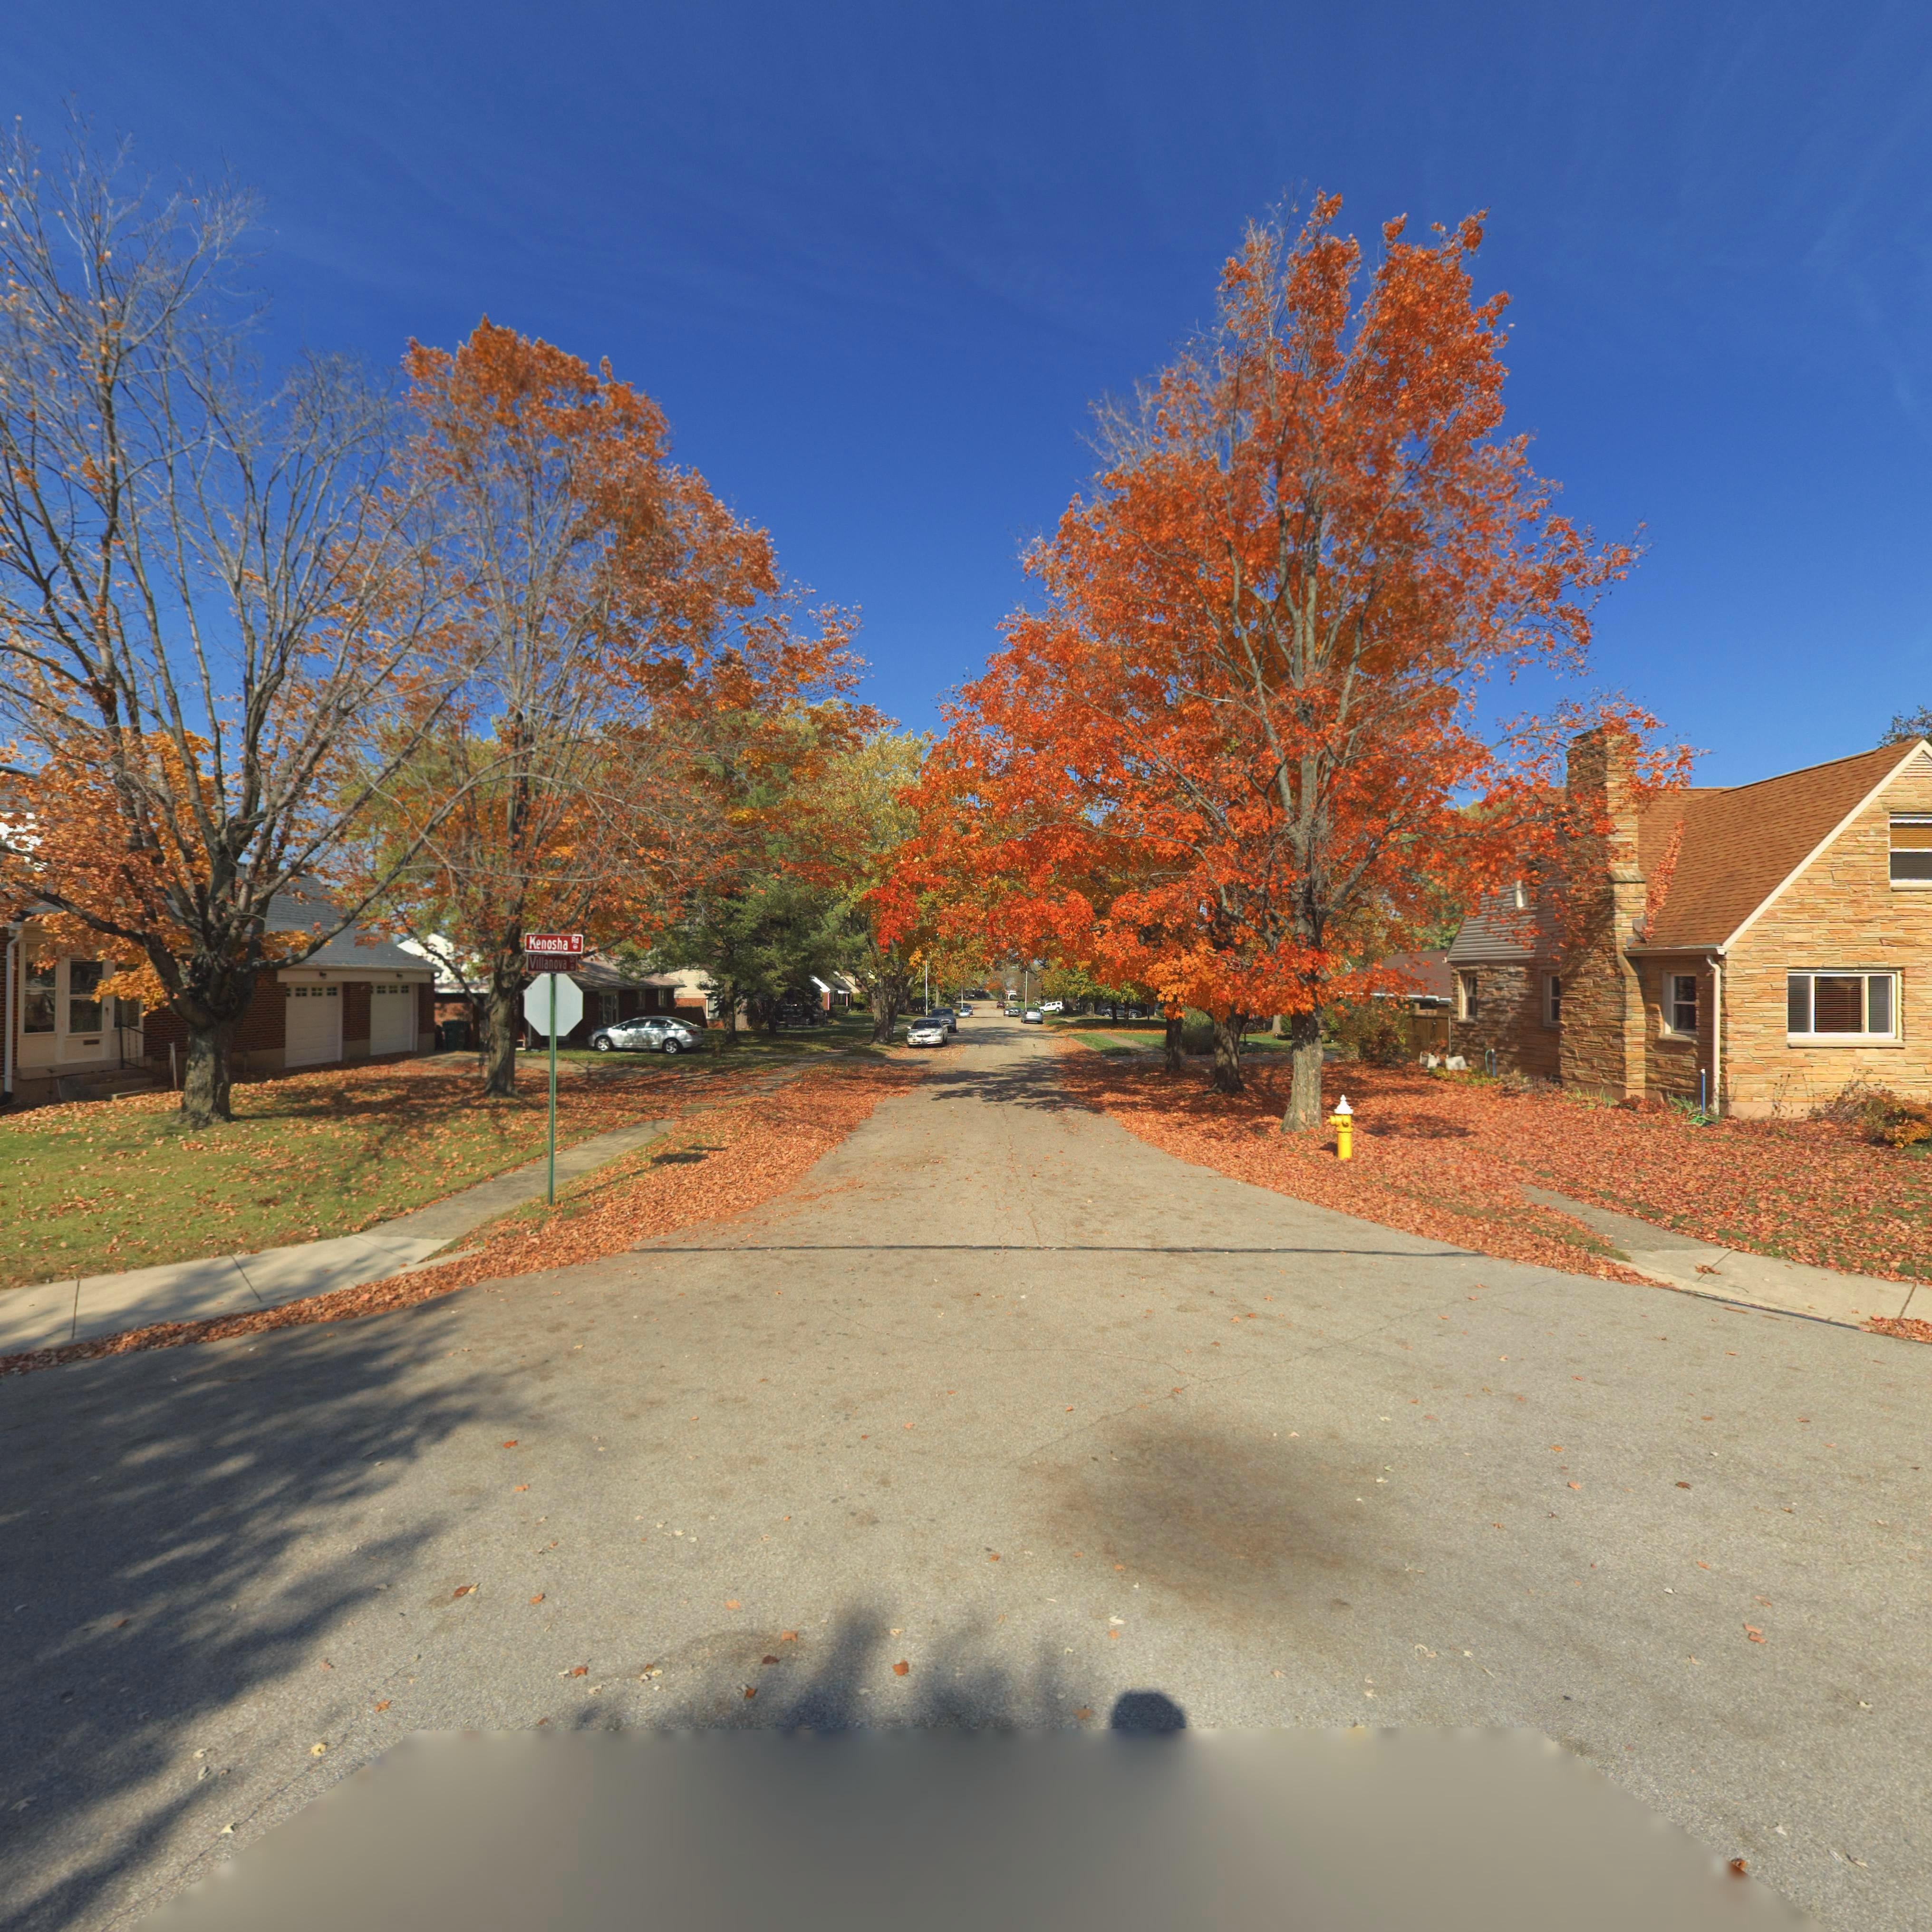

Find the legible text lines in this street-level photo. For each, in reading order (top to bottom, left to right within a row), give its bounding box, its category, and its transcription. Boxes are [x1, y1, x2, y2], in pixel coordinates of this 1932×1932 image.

[527, 933, 580, 952] StreetName: Kenosha Rd
[527, 953, 577, 972] StreetName: Villanova Dr